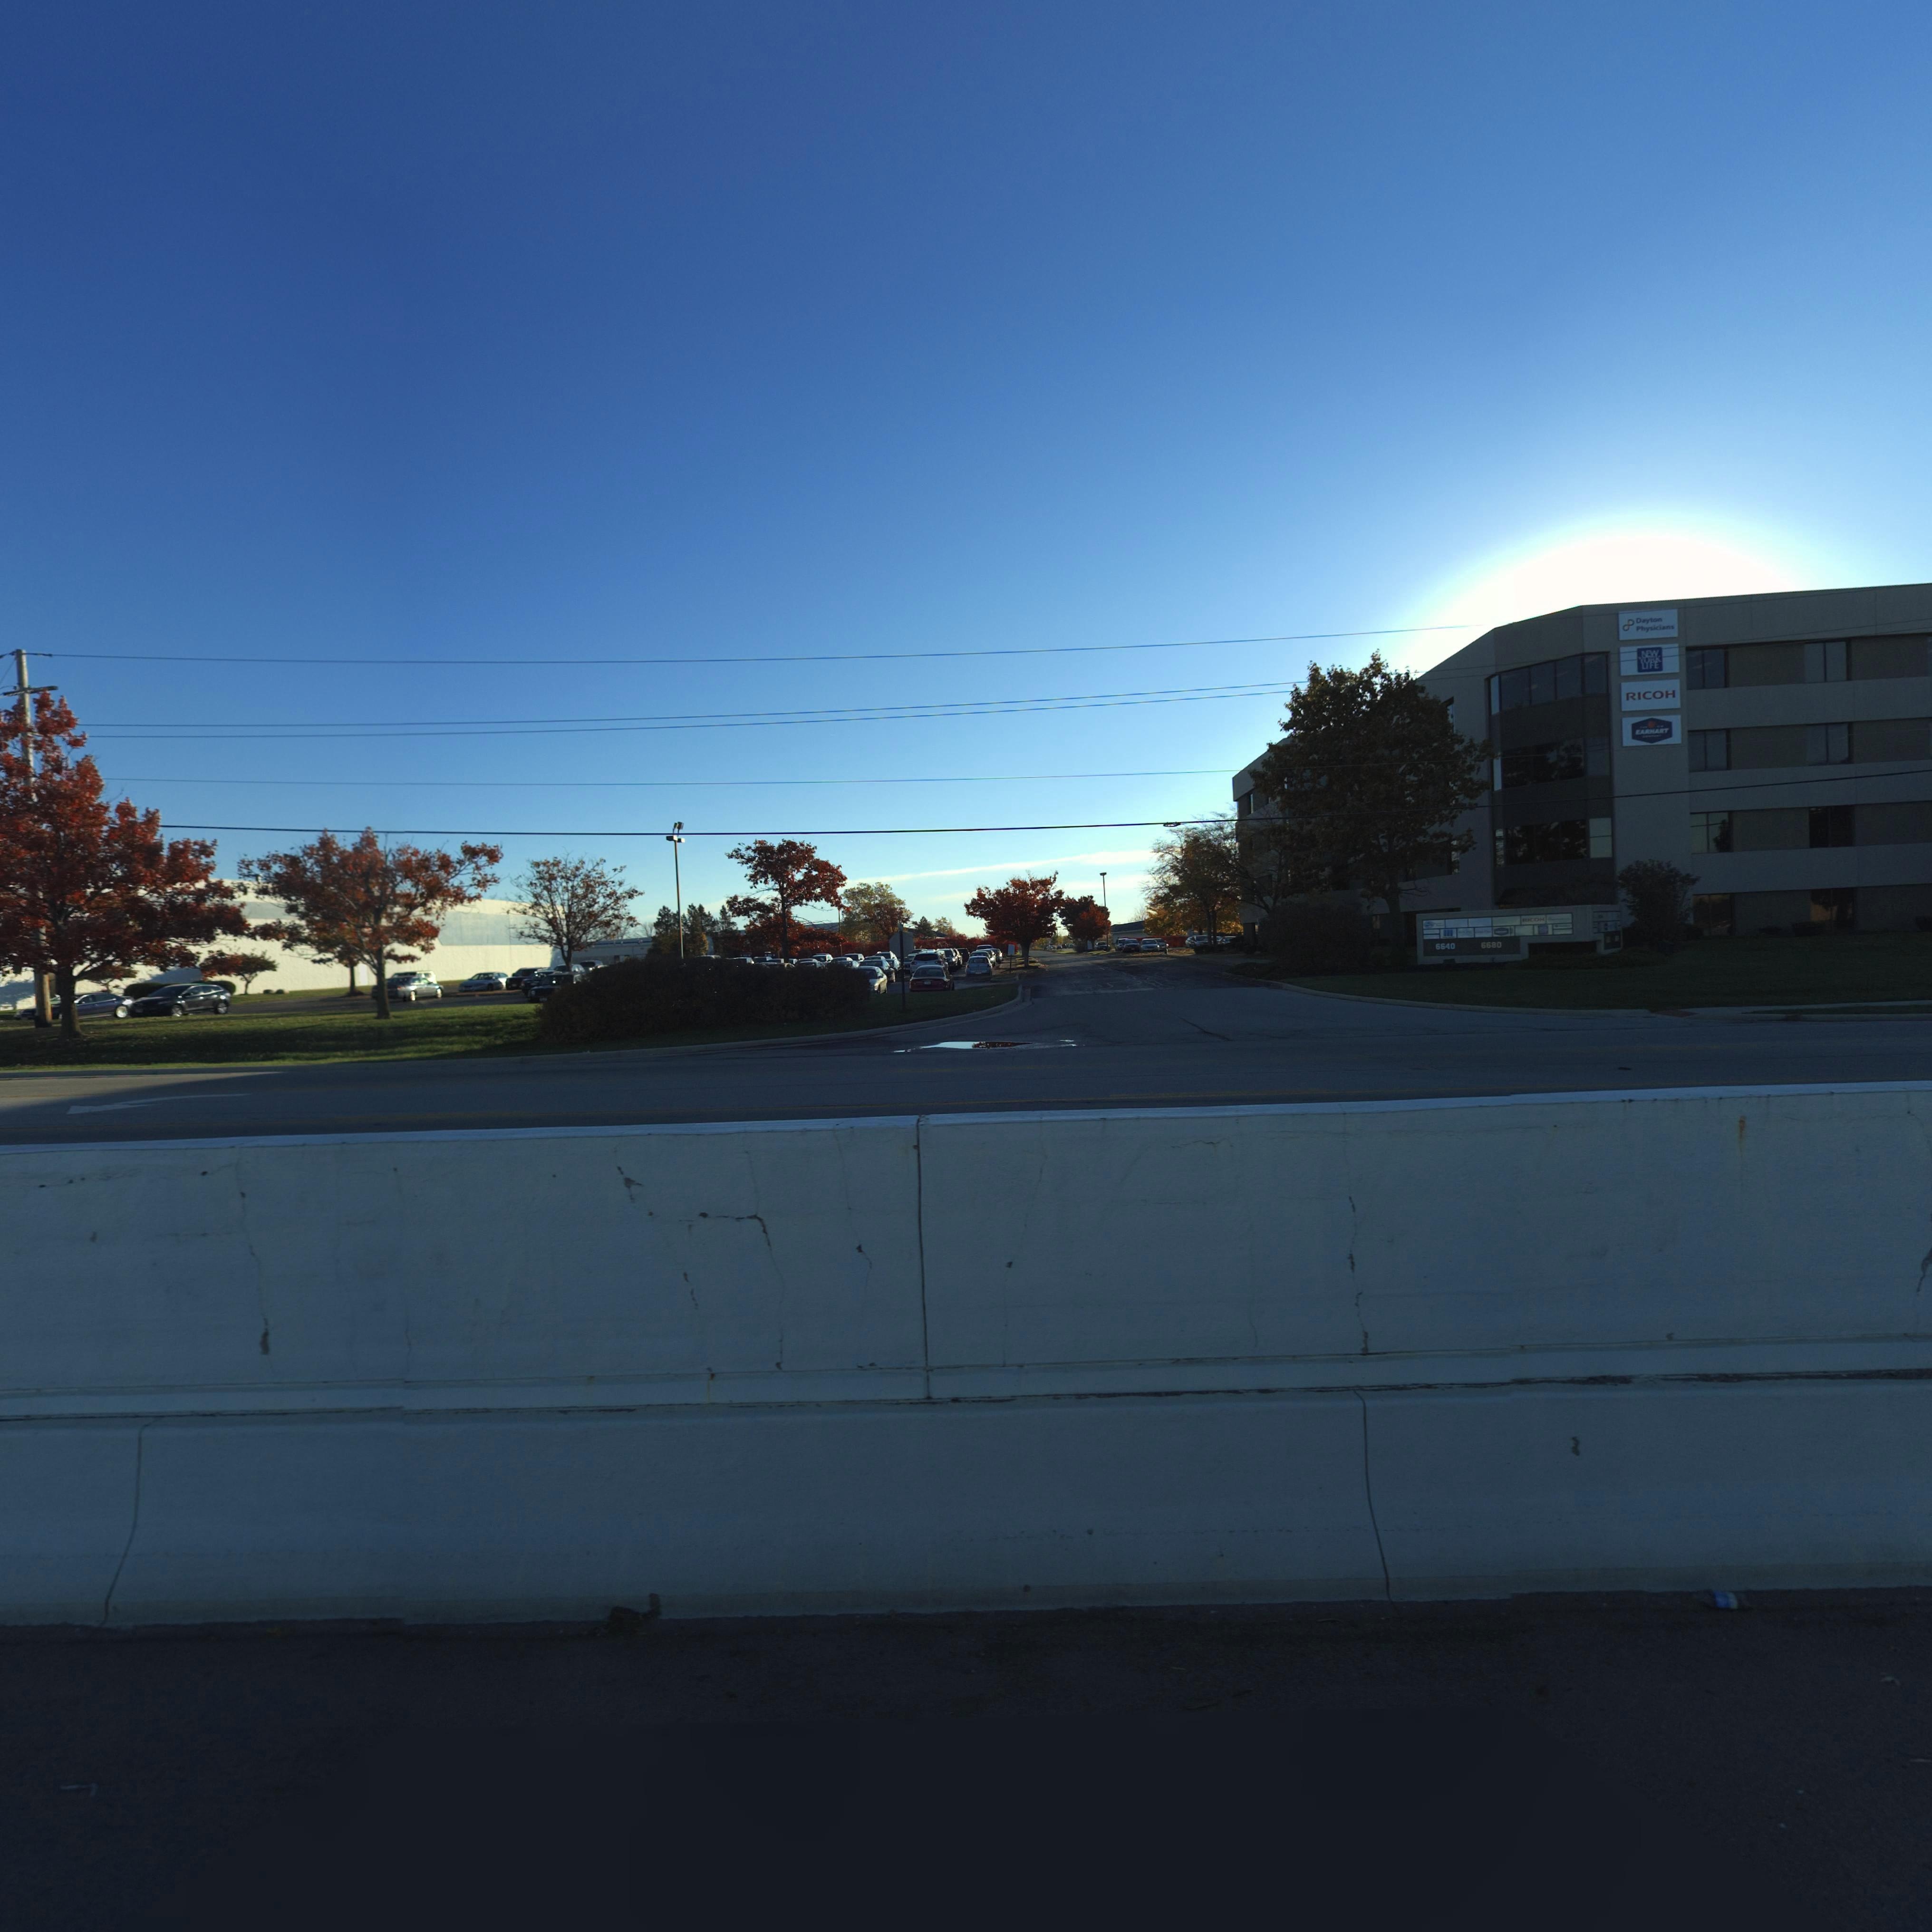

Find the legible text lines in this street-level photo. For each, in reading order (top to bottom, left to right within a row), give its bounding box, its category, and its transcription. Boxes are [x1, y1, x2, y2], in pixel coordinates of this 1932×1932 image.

[1636, 617, 1664, 624] None: Dayton
[1635, 624, 1675, 632] None: Physicians
[1641, 649, 1662, 658] None: NEW
[1637, 654, 1662, 665] None: YORK
[1640, 661, 1661, 670] None: LIFE
[1626, 690, 1677, 702] None: RICOH
[1634, 726, 1670, 735] None: EARHART
[1435, 941, 1457, 951] StreetNumber: 6640
[1479, 940, 1503, 950] StreetNumber: 6680